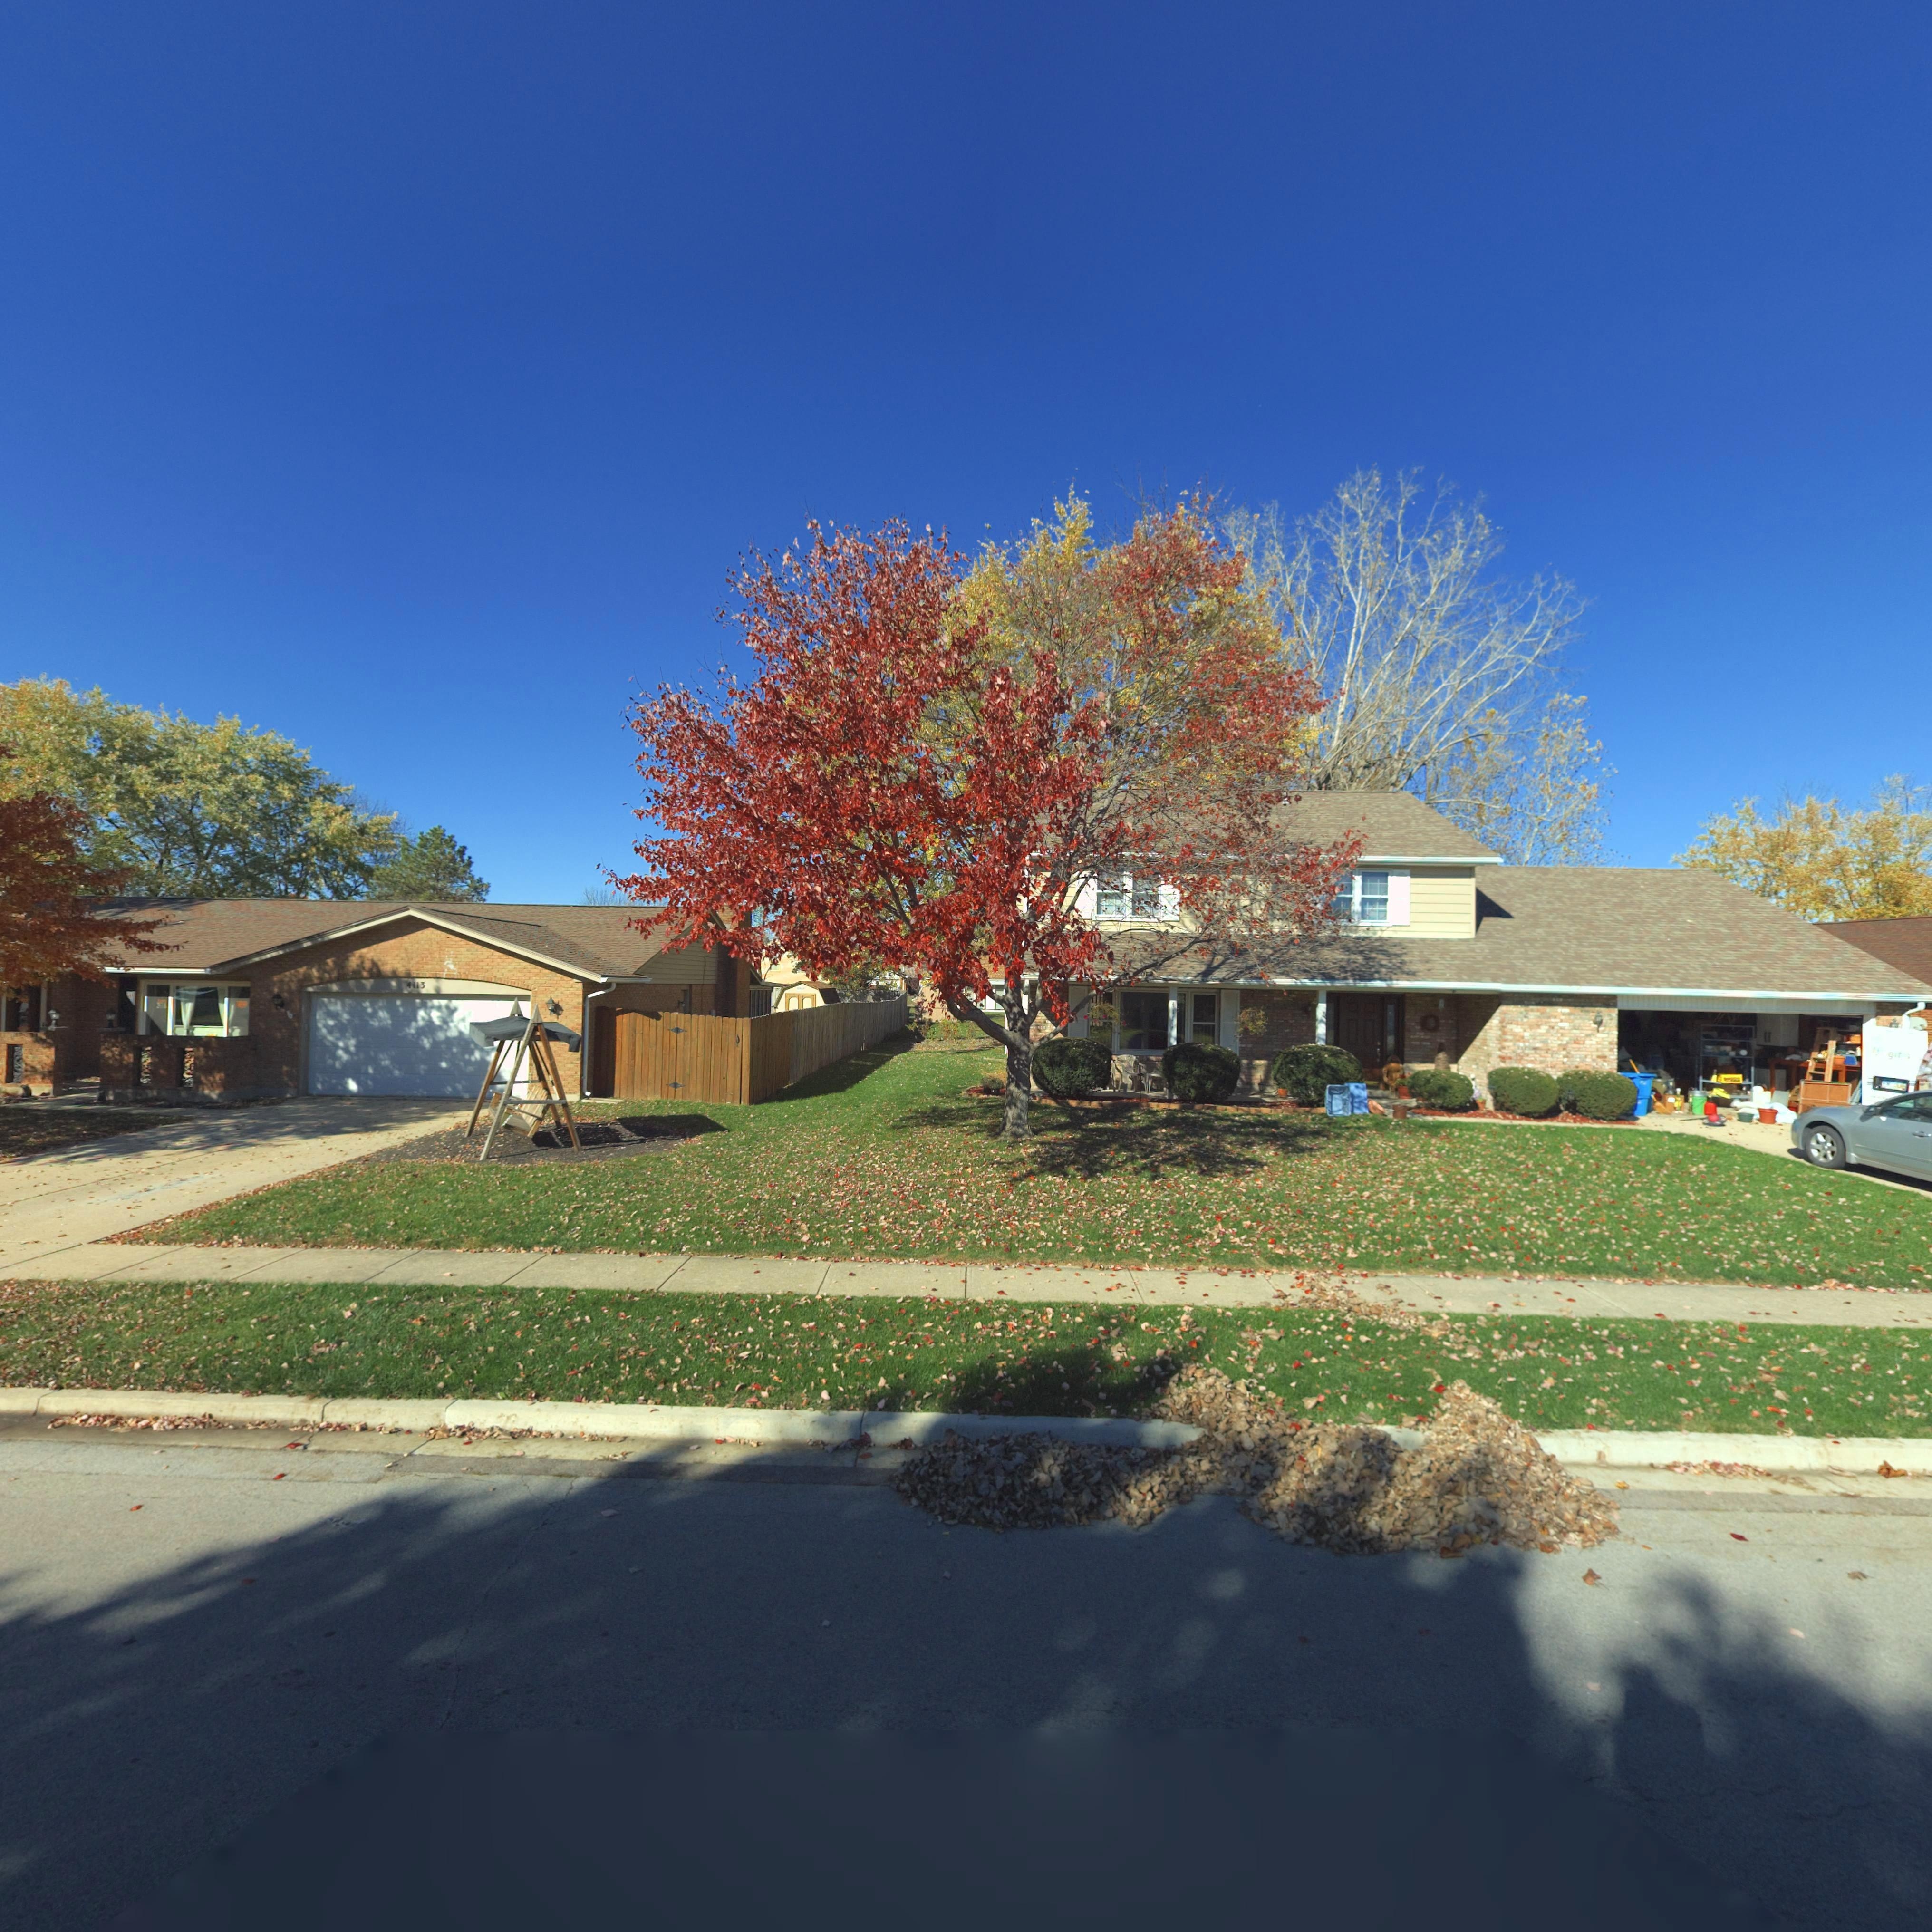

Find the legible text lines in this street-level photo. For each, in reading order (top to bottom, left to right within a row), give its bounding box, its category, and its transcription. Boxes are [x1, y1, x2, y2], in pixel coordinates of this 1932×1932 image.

[406, 981, 425, 989] StreetNumber: 4113